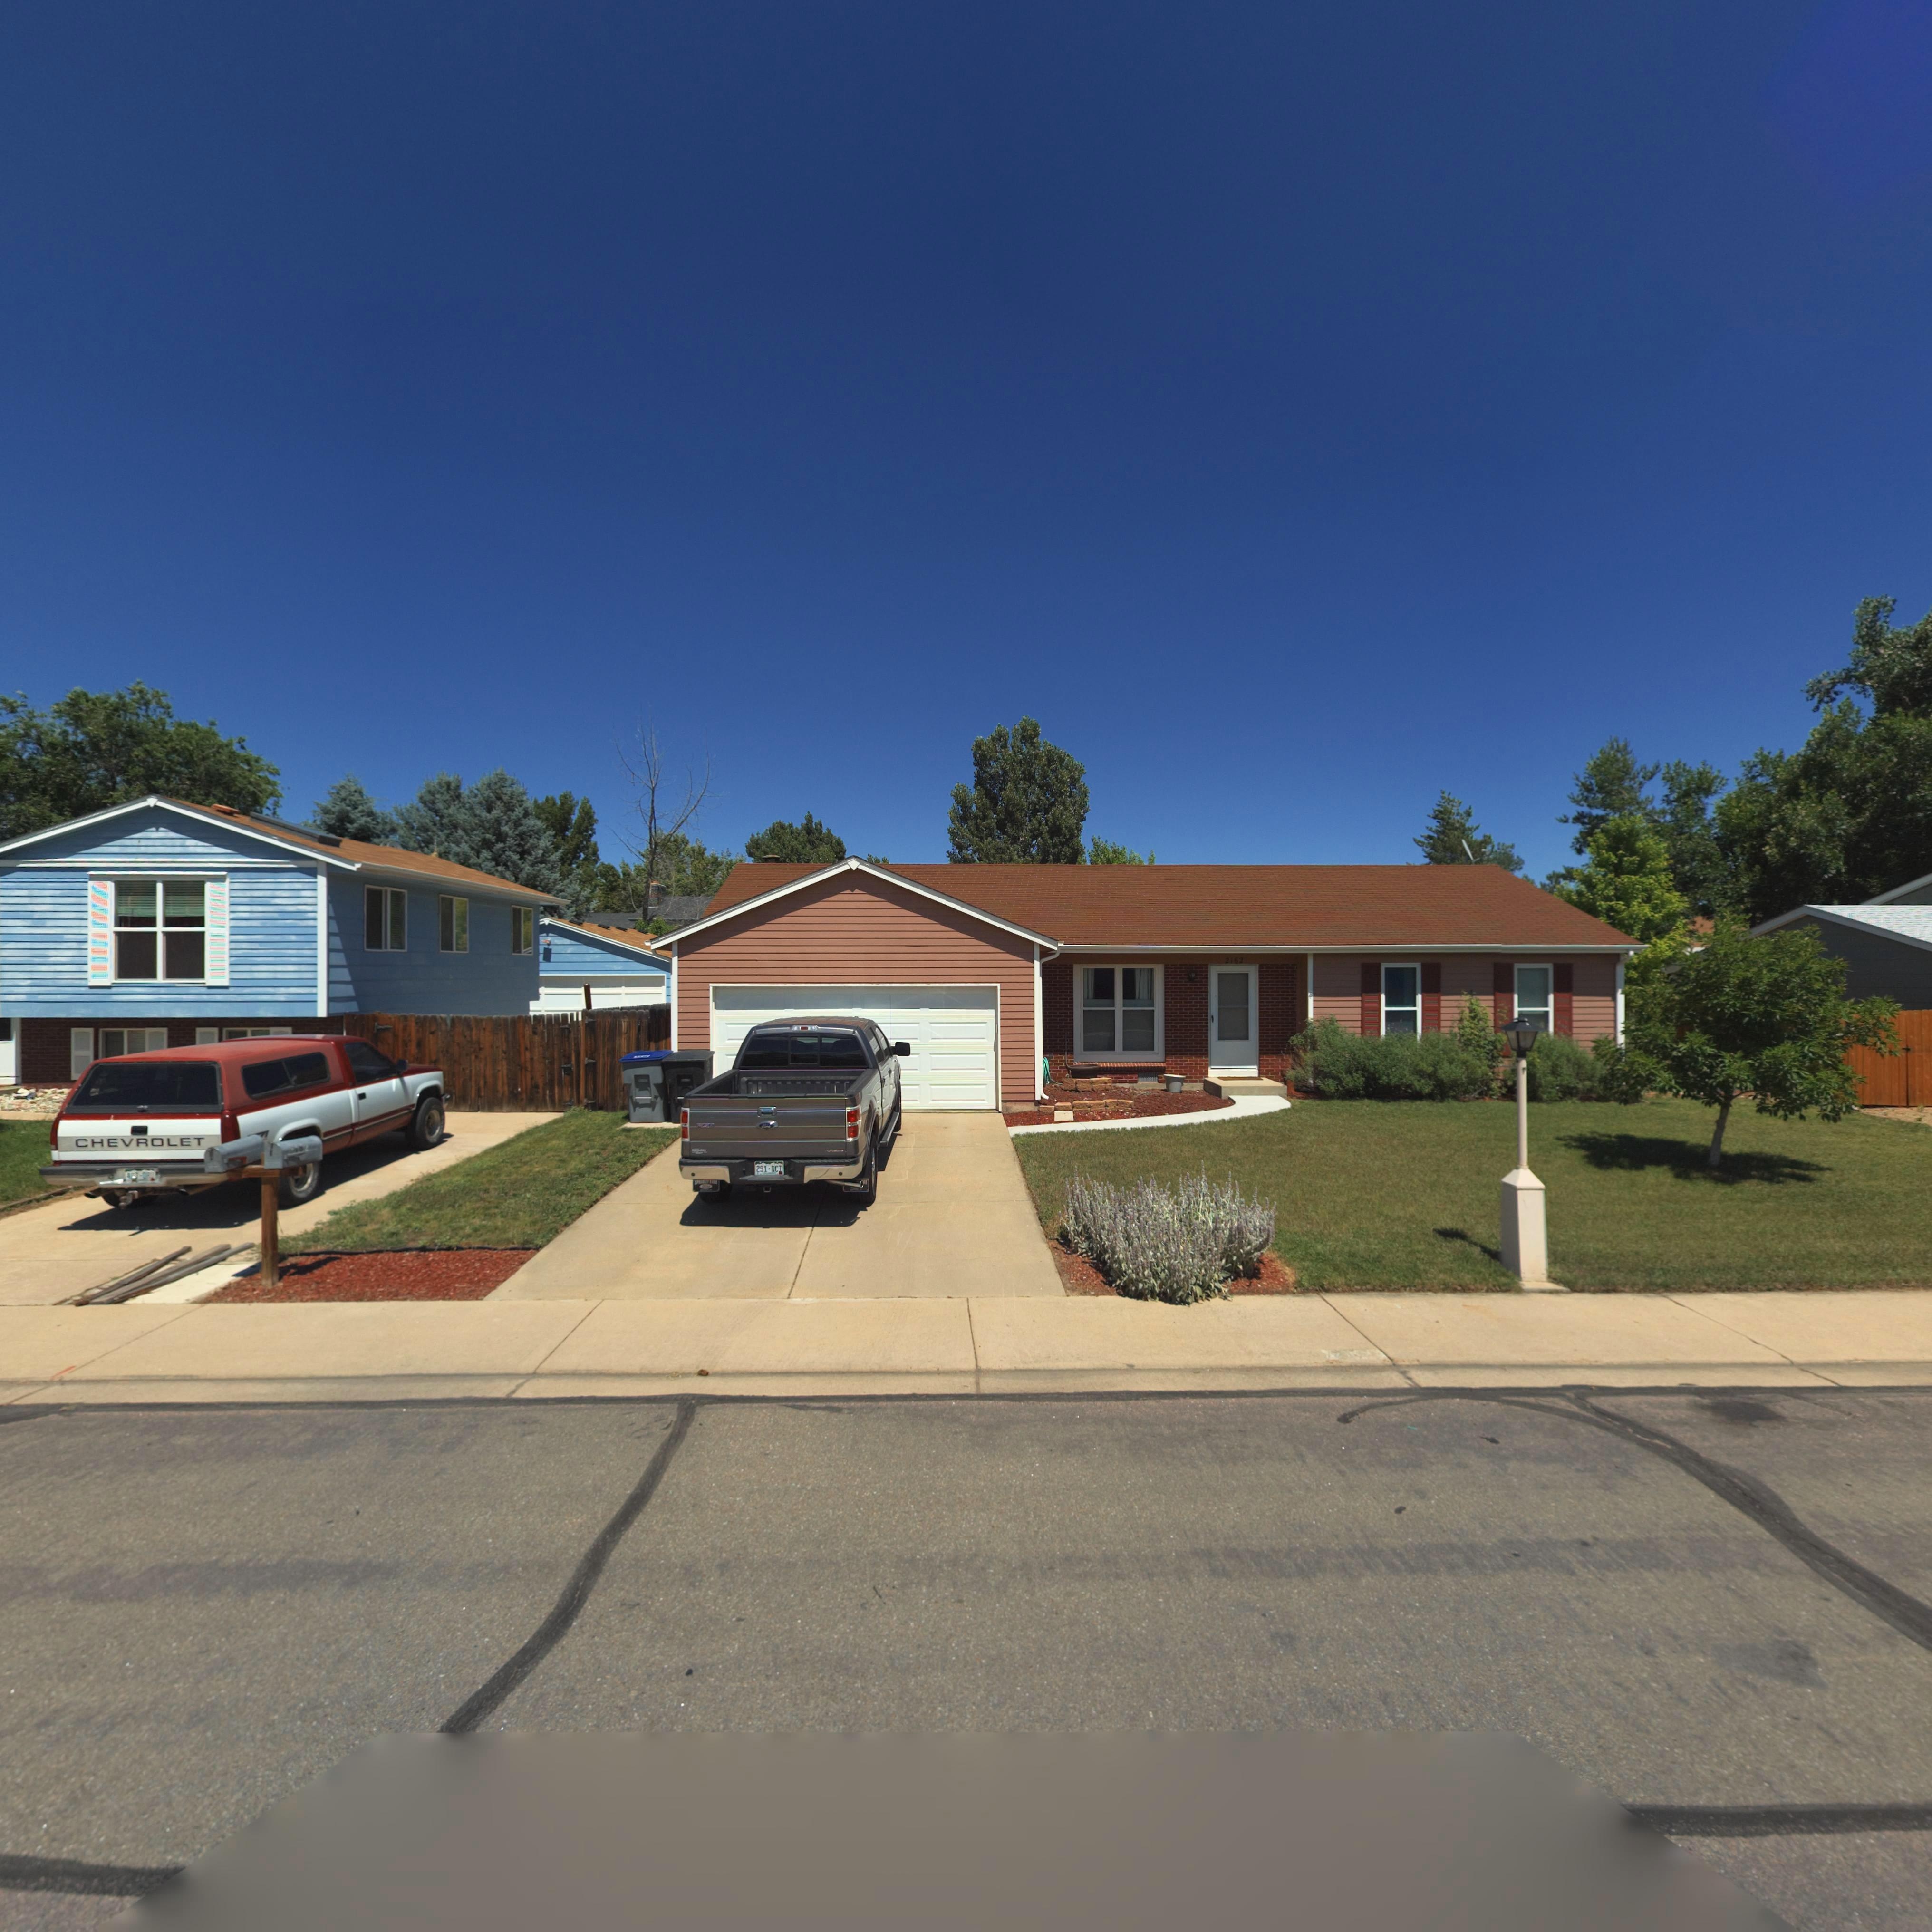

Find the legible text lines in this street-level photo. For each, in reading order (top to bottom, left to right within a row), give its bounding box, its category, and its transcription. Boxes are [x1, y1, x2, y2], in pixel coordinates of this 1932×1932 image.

[1225, 957, 1243, 963] StreetNumber: 2162